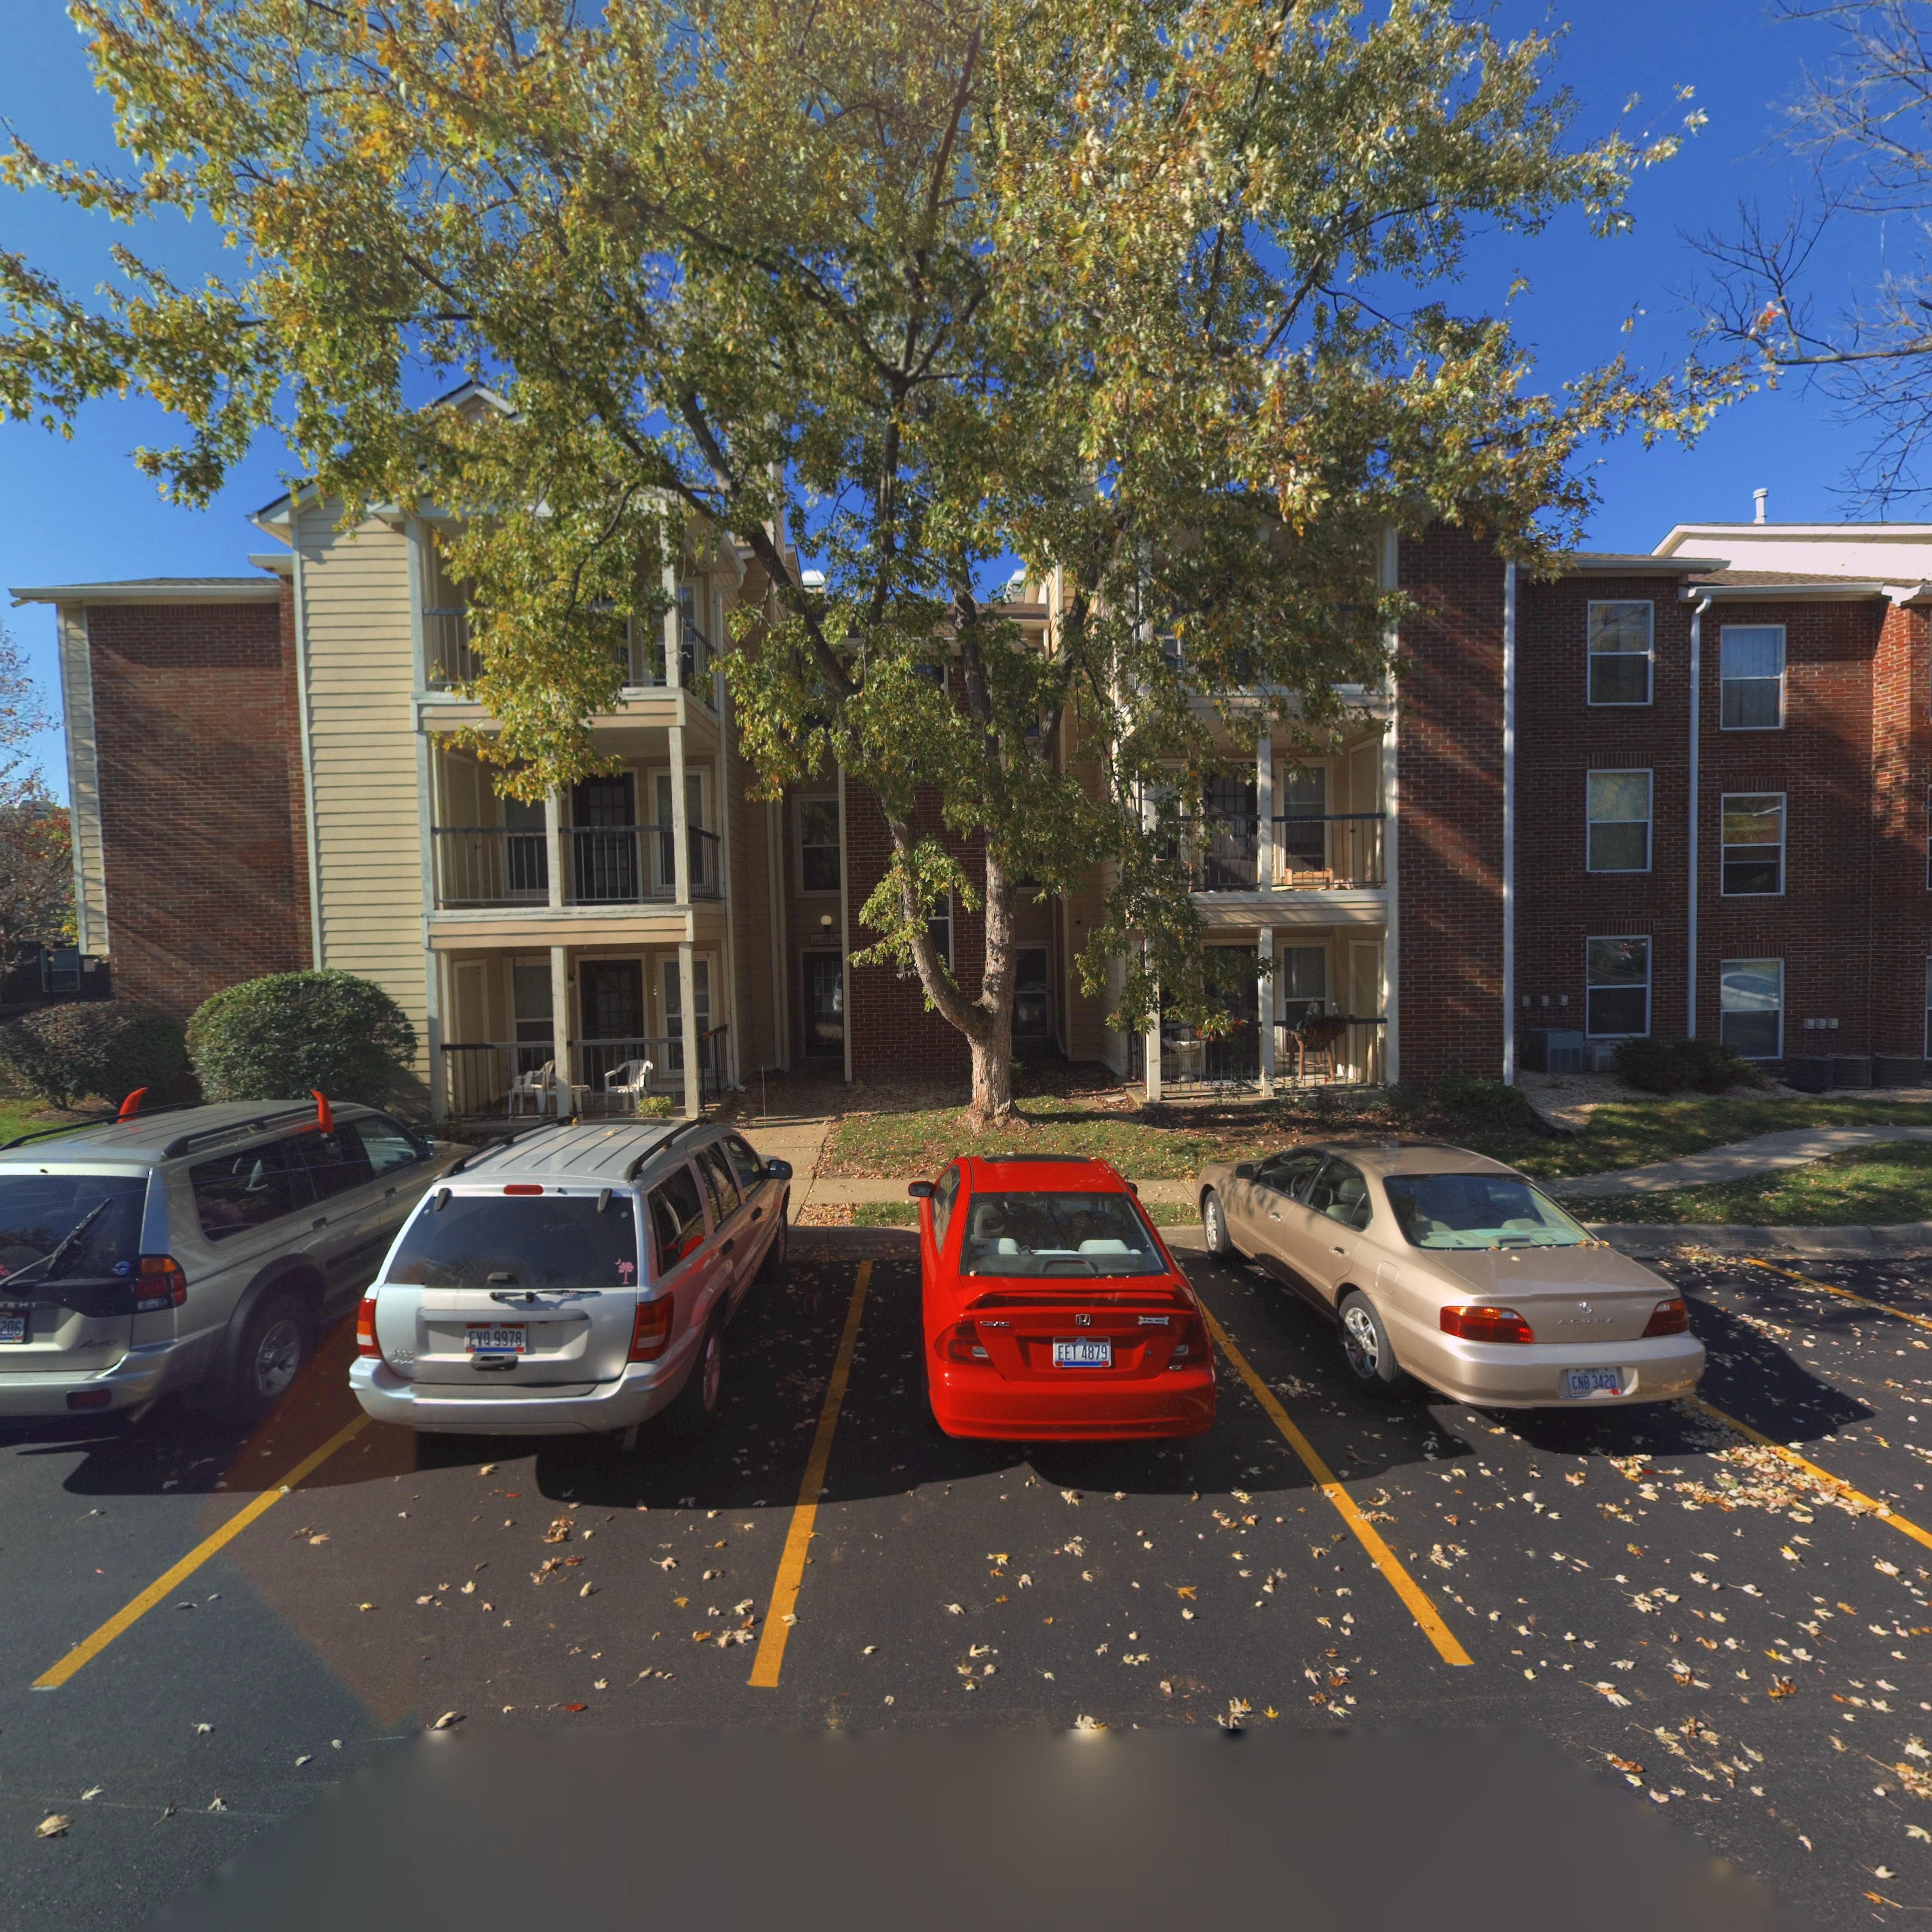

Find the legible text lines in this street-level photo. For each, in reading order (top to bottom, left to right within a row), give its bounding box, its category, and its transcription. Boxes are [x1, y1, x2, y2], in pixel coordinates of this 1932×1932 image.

[822, 933, 836, 941] StreetNumber: 685
[5, 1299, 39, 1310] None: SHI
[0, 1319, 22, 1337] None: 206
[1557, 1316, 1617, 1326] None: ACURA
[77, 1337, 120, 1350] None: A*D
[468, 1329, 523, 1349] None: EVQ 9978
[1057, 1343, 1108, 1361] None: EET 4879
[1569, 1373, 1618, 1392] None: CNB 3420